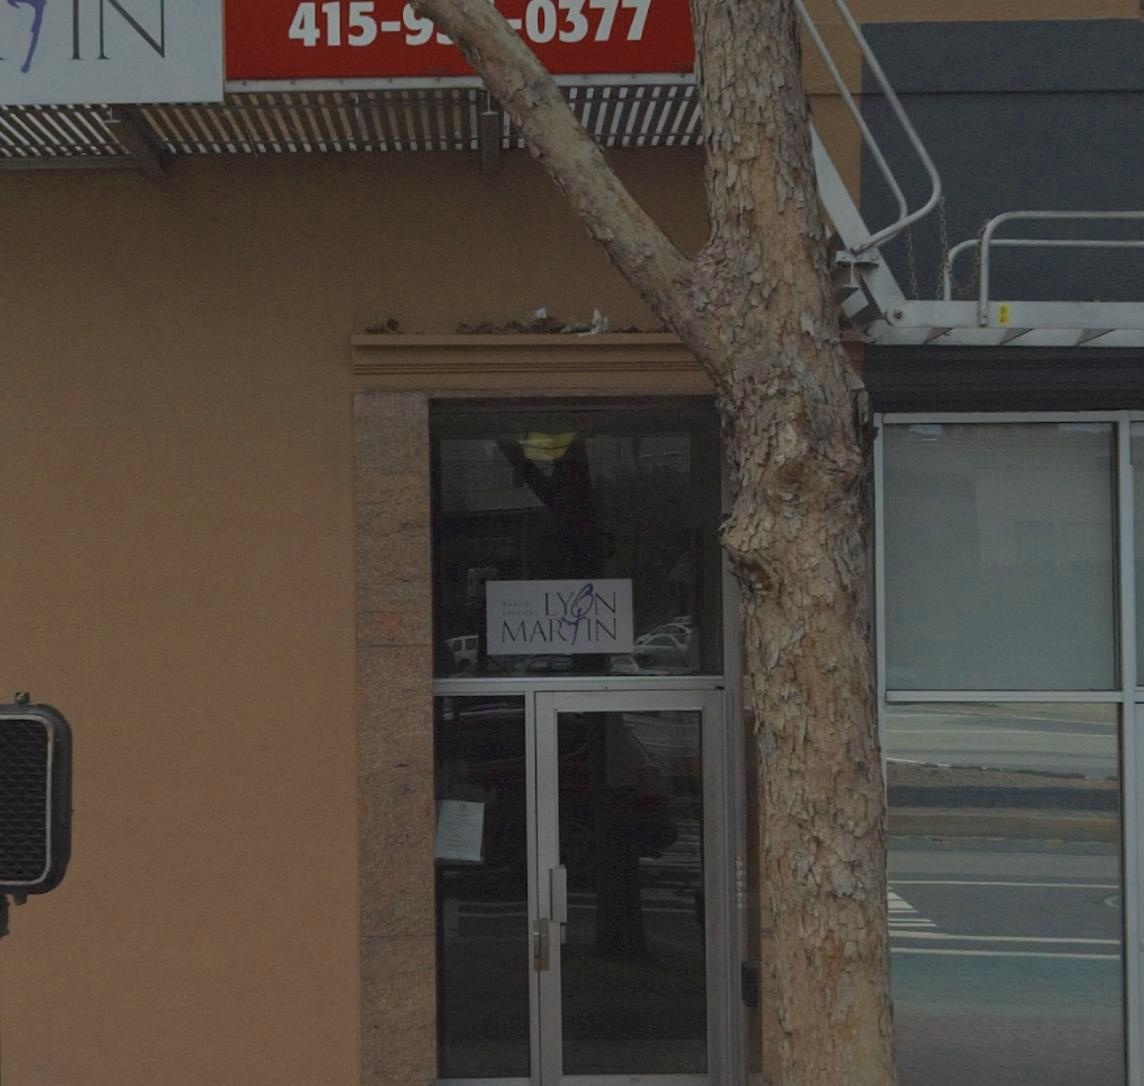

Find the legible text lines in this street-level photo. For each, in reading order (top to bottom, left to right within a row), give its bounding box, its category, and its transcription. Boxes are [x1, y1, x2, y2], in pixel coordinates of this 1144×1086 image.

[285, 0, 653, 50] None: 415-***-0377
[544, 589, 618, 617] BusinessName: LYON
[499, 615, 617, 647] BusinessName: MARYIN